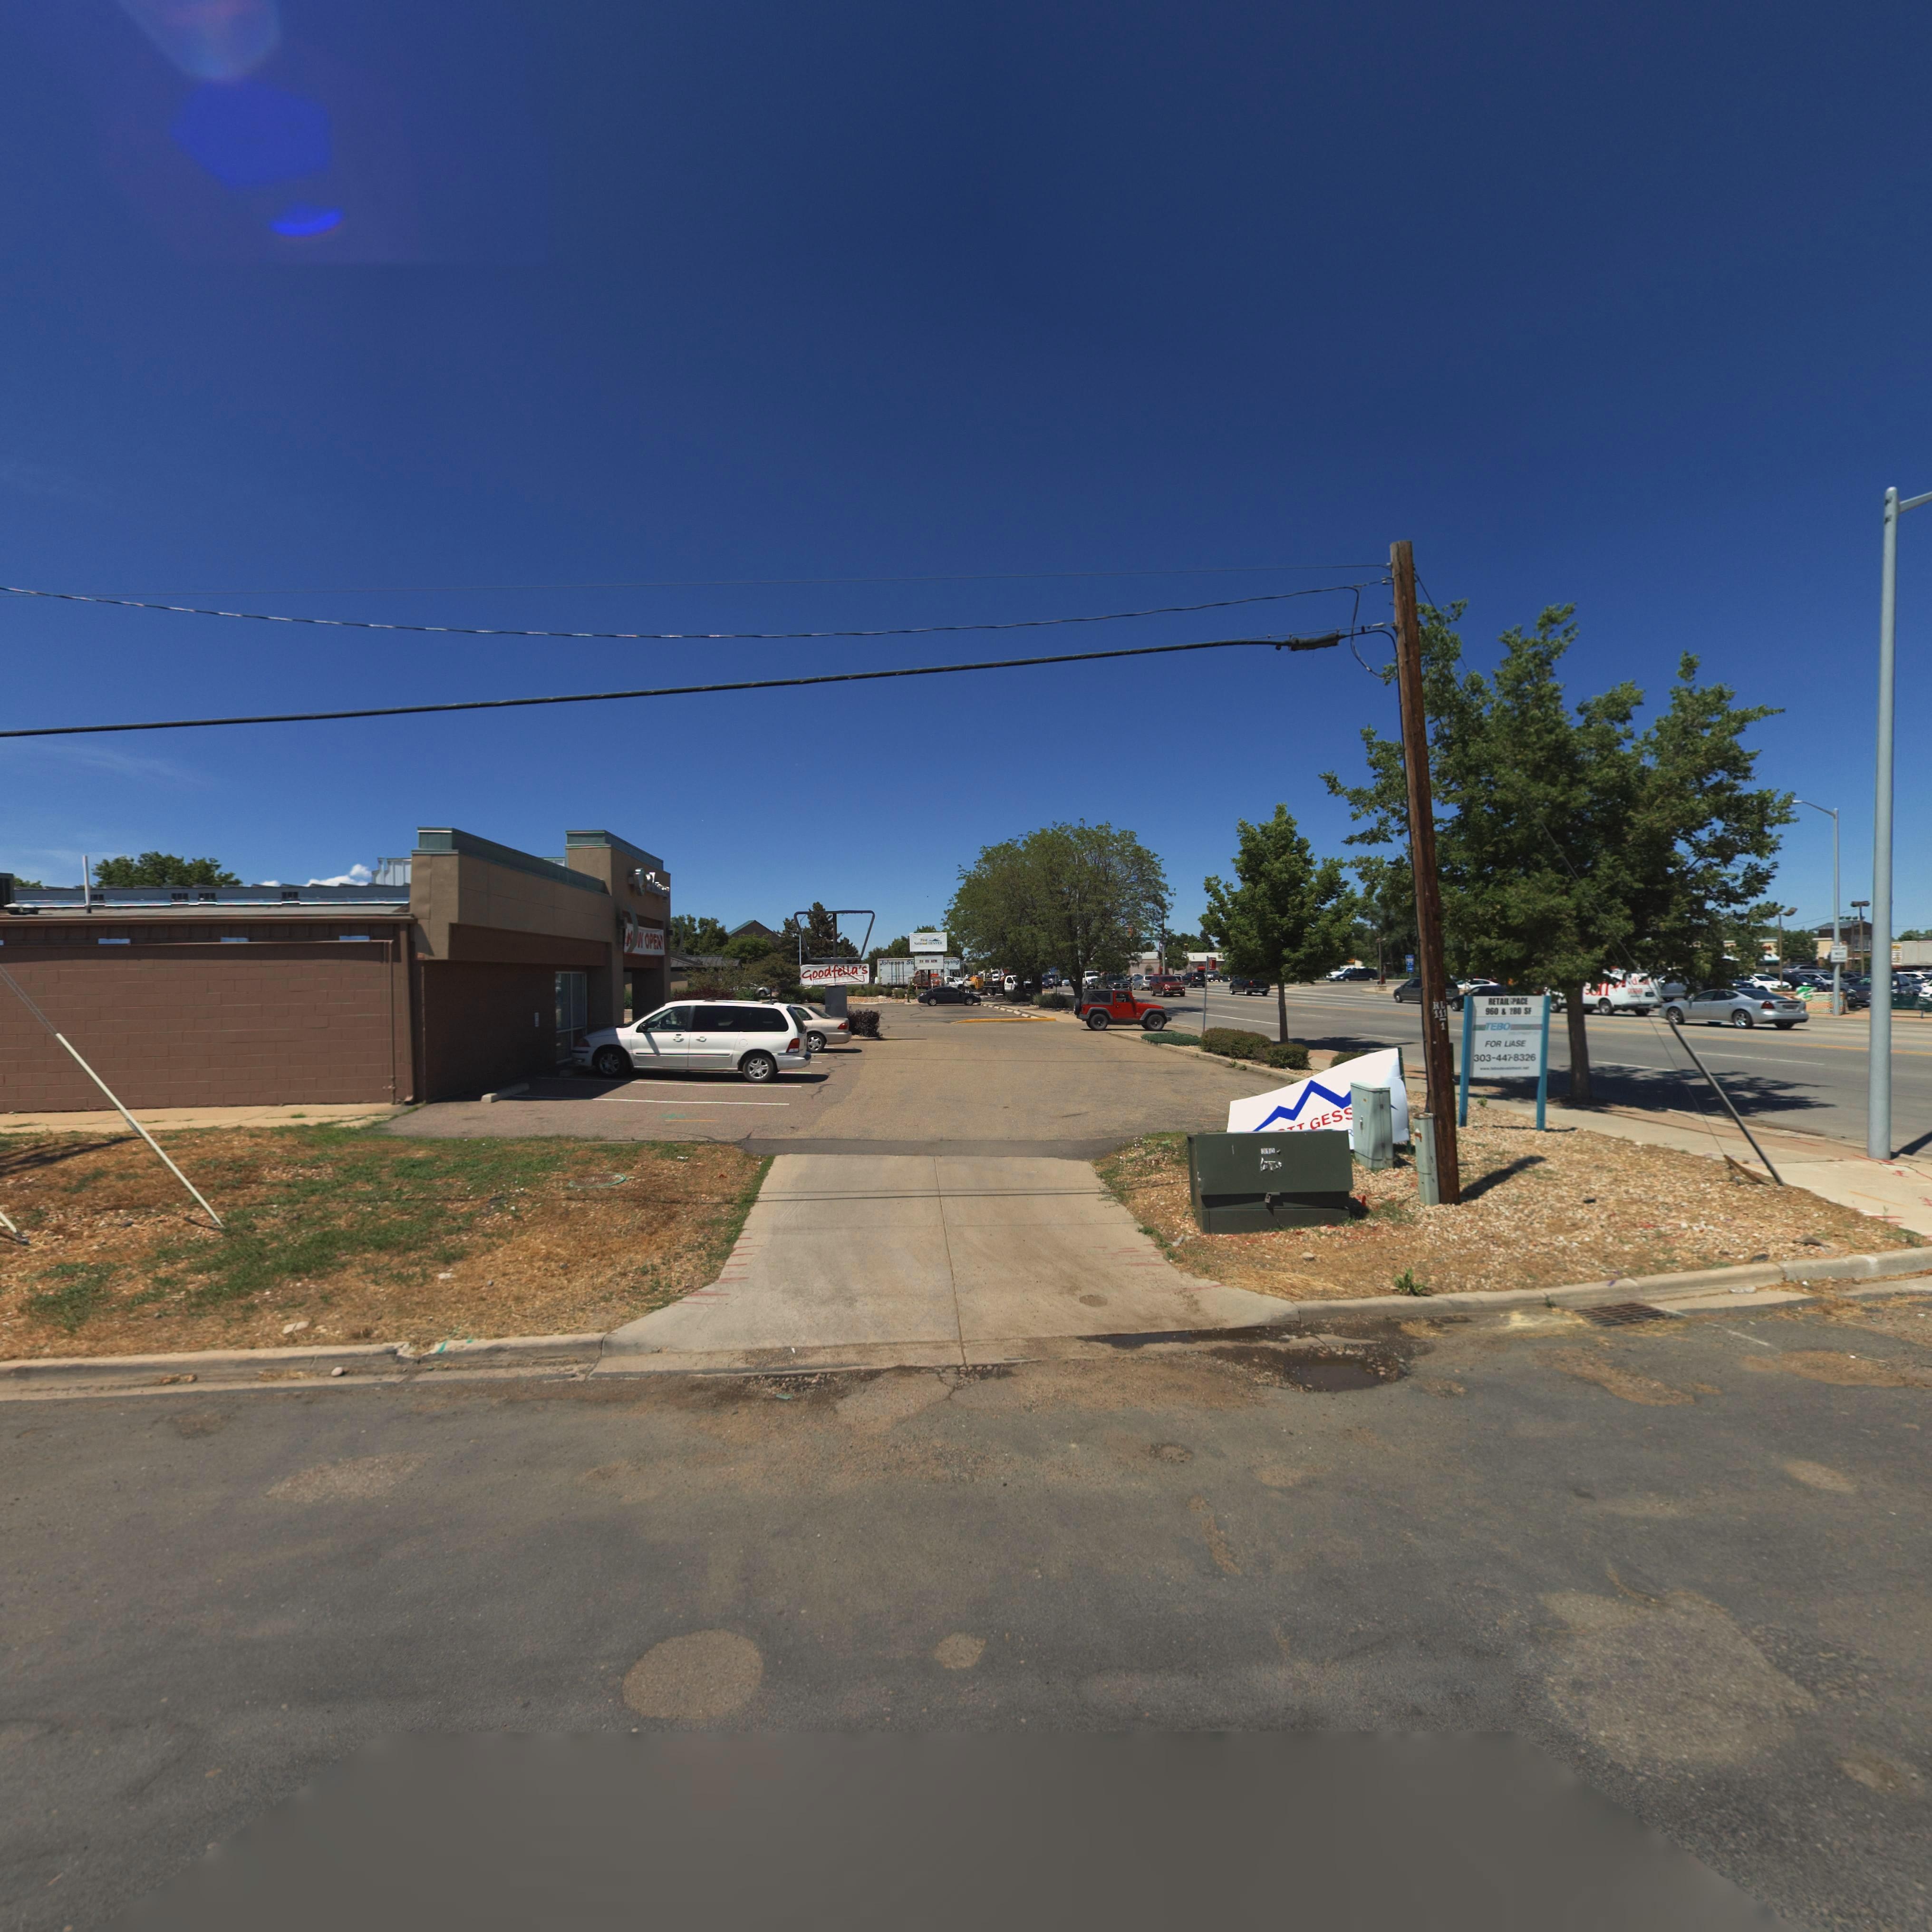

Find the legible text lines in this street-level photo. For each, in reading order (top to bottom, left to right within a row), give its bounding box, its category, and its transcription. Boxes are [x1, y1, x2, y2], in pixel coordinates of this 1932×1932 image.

[913, 941, 942, 945] BusinessName: Na******* DENV**
[801, 964, 868, 982] BusinessName: Goodfella*s
[814, 976, 863, 984] BusinessName: R********** * B*****